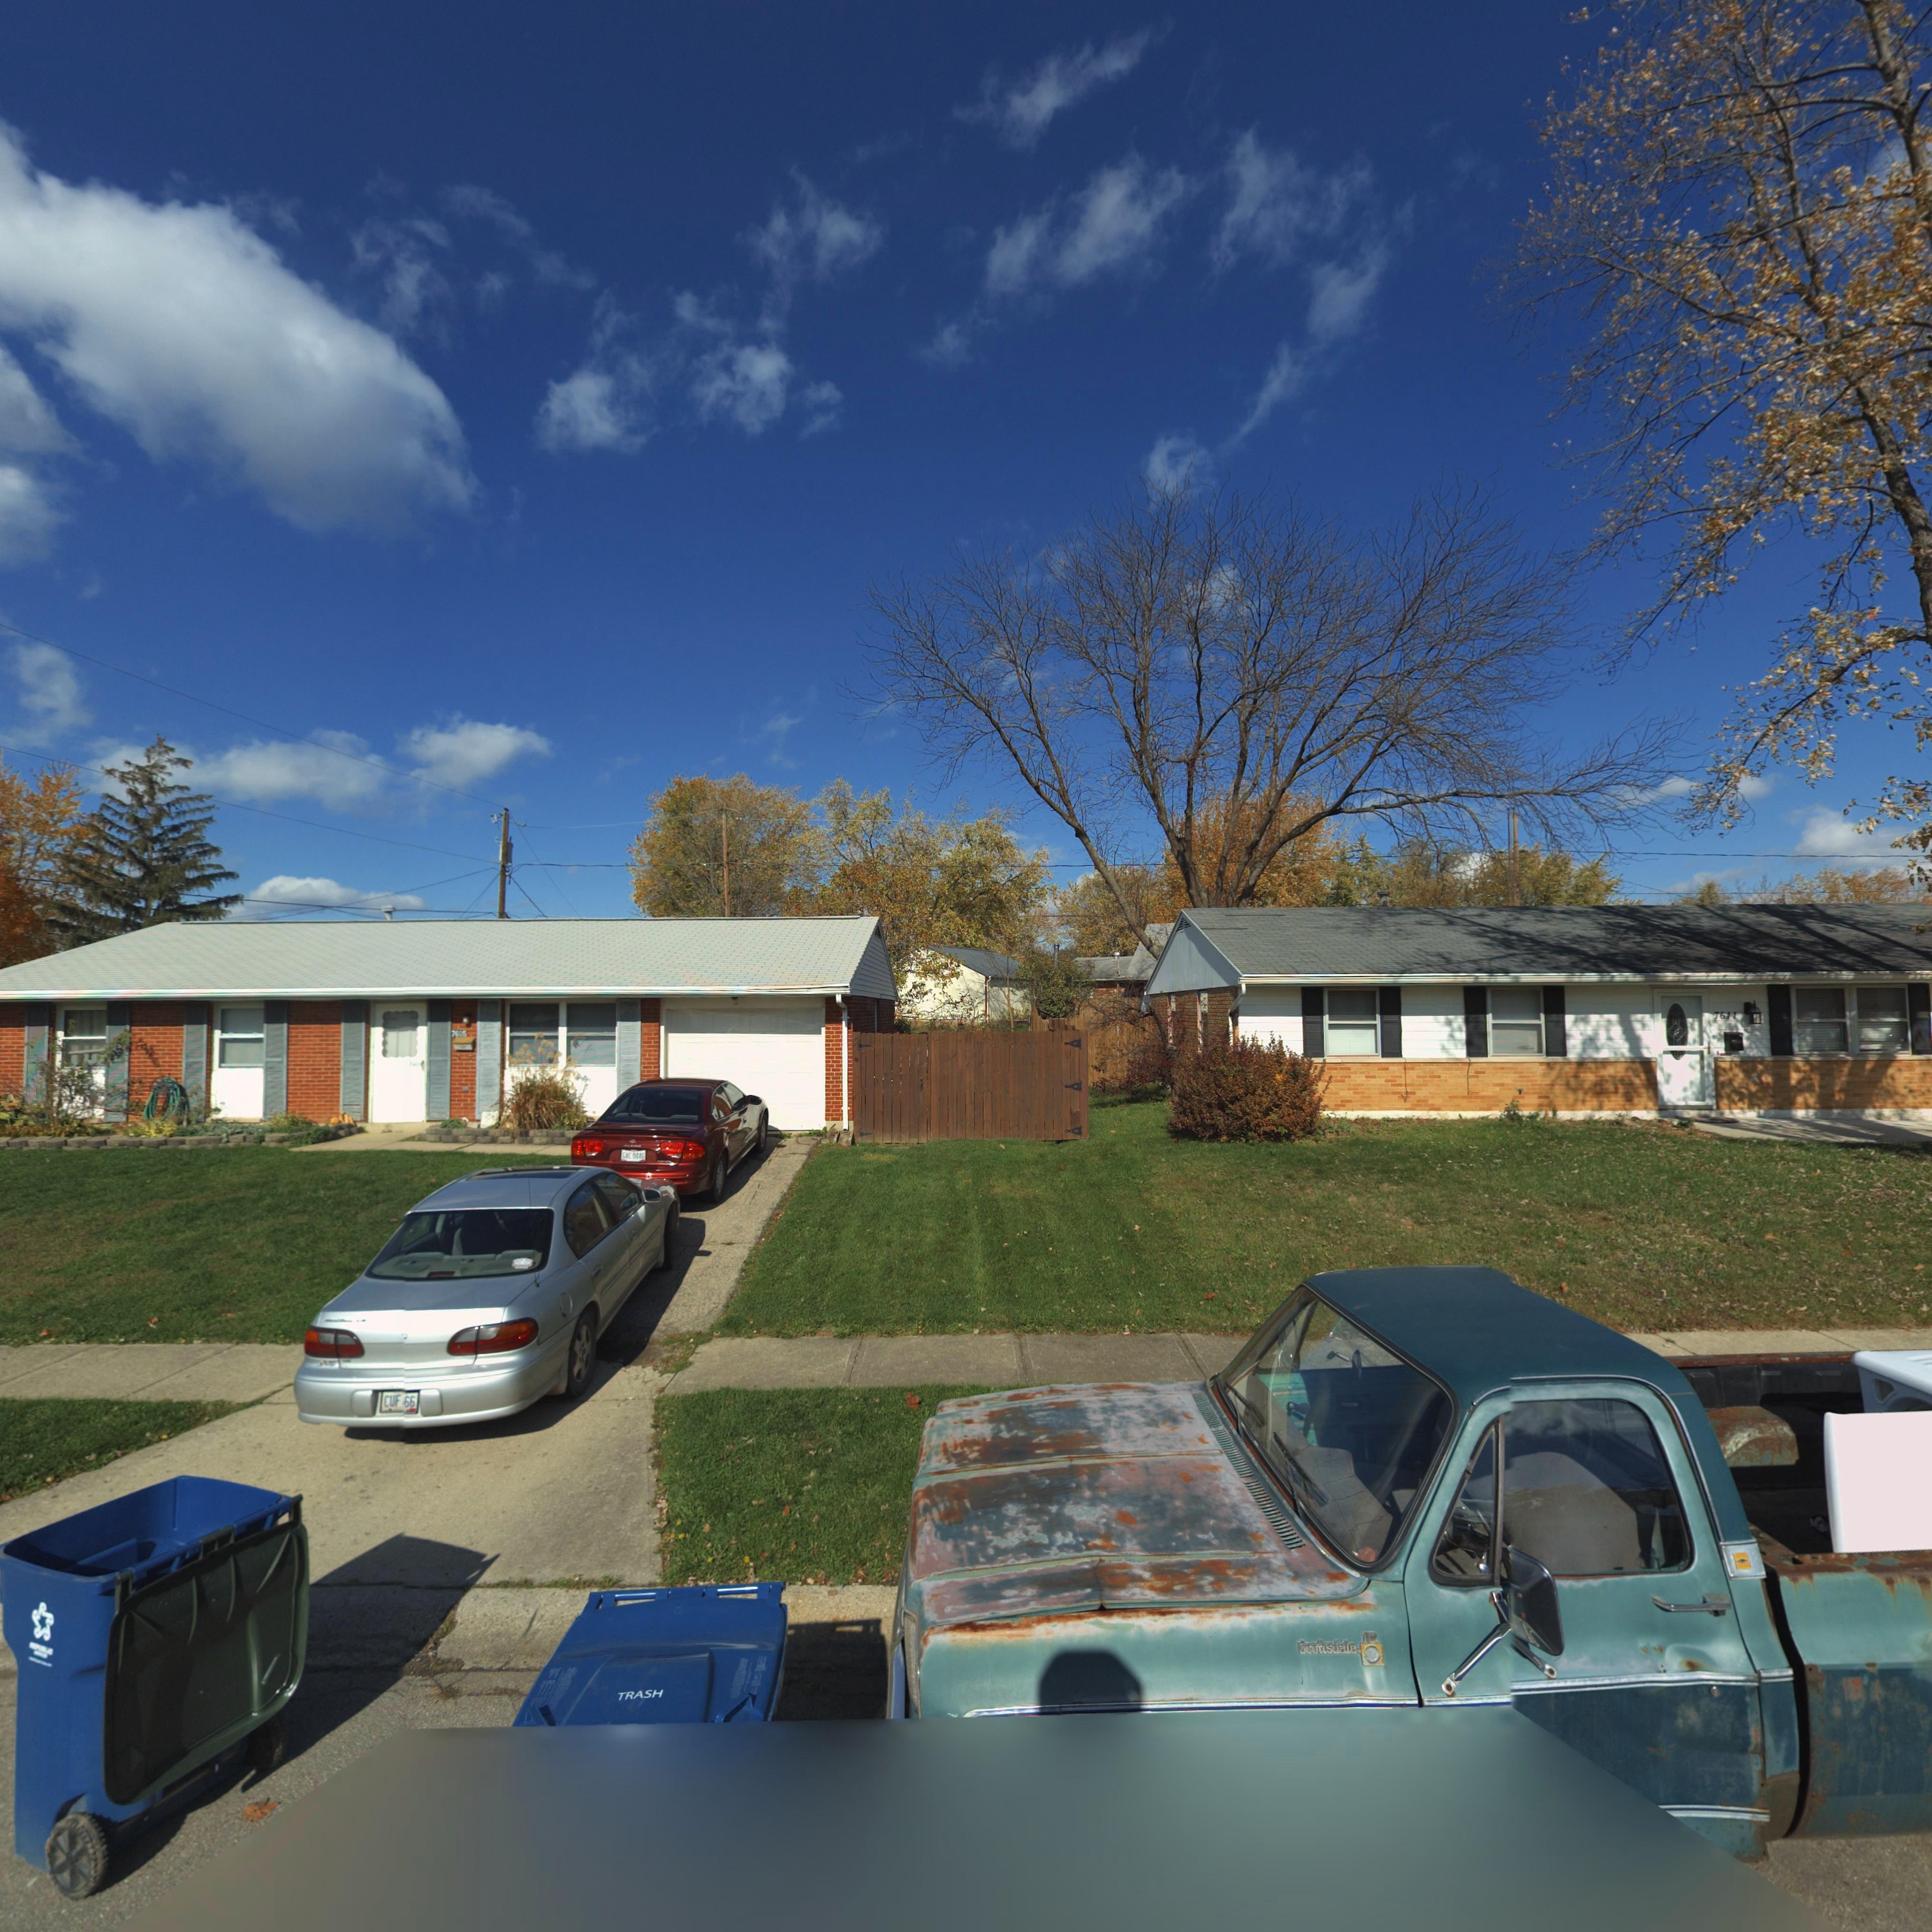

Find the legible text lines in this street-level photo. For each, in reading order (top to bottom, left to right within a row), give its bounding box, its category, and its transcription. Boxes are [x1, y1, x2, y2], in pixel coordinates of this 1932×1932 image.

[1713, 1010, 1737, 1020] StreetNumber: 7611
[451, 1030, 467, 1037] StreetNumber: 7605
[408, 1061, 420, 1066] StreetNumber: 760